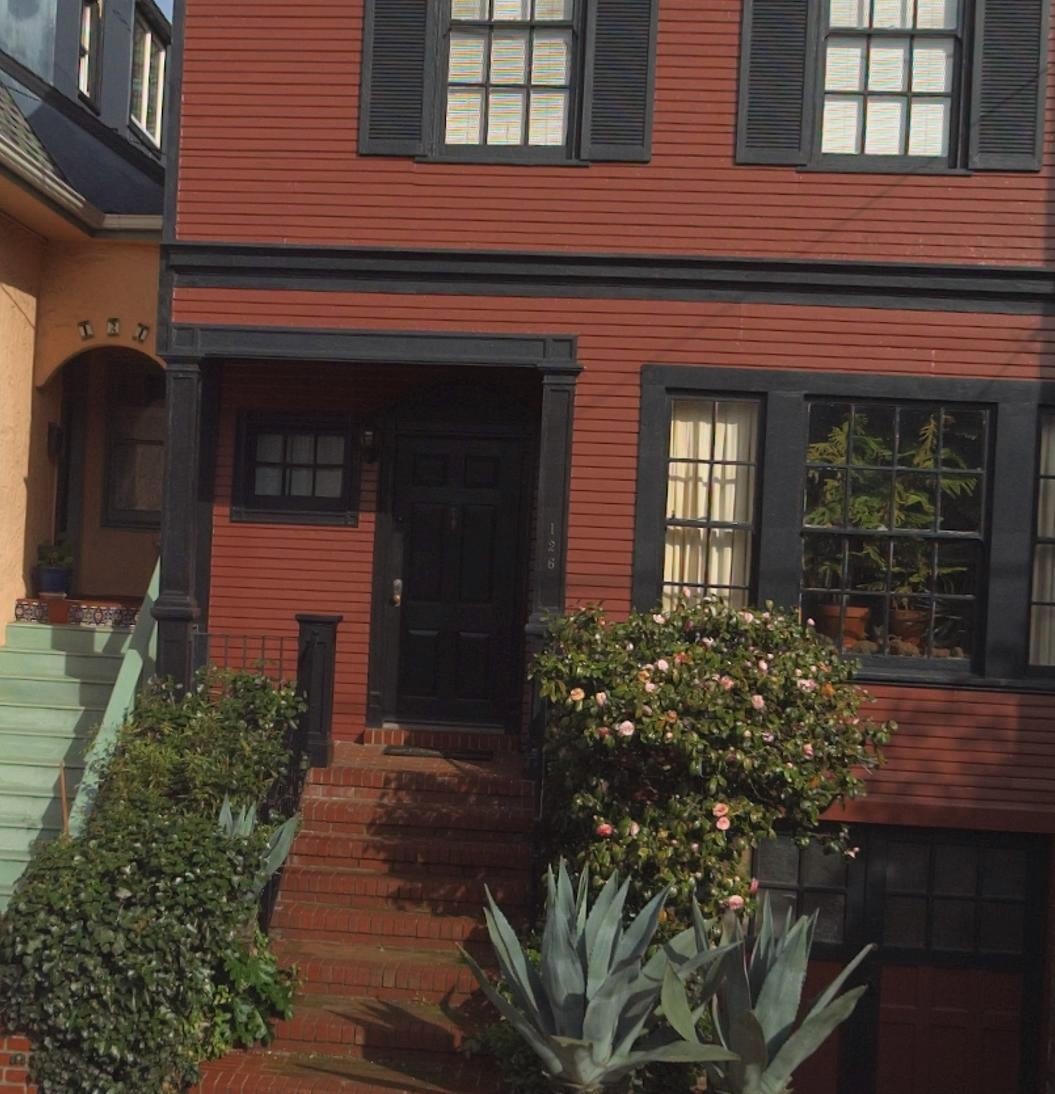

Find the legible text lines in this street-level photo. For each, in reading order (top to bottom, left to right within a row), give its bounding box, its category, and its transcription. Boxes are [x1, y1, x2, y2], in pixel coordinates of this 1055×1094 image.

[80, 320, 148, 341] StreetNumber: 124
[546, 520, 557, 571] StreetNumber: 126